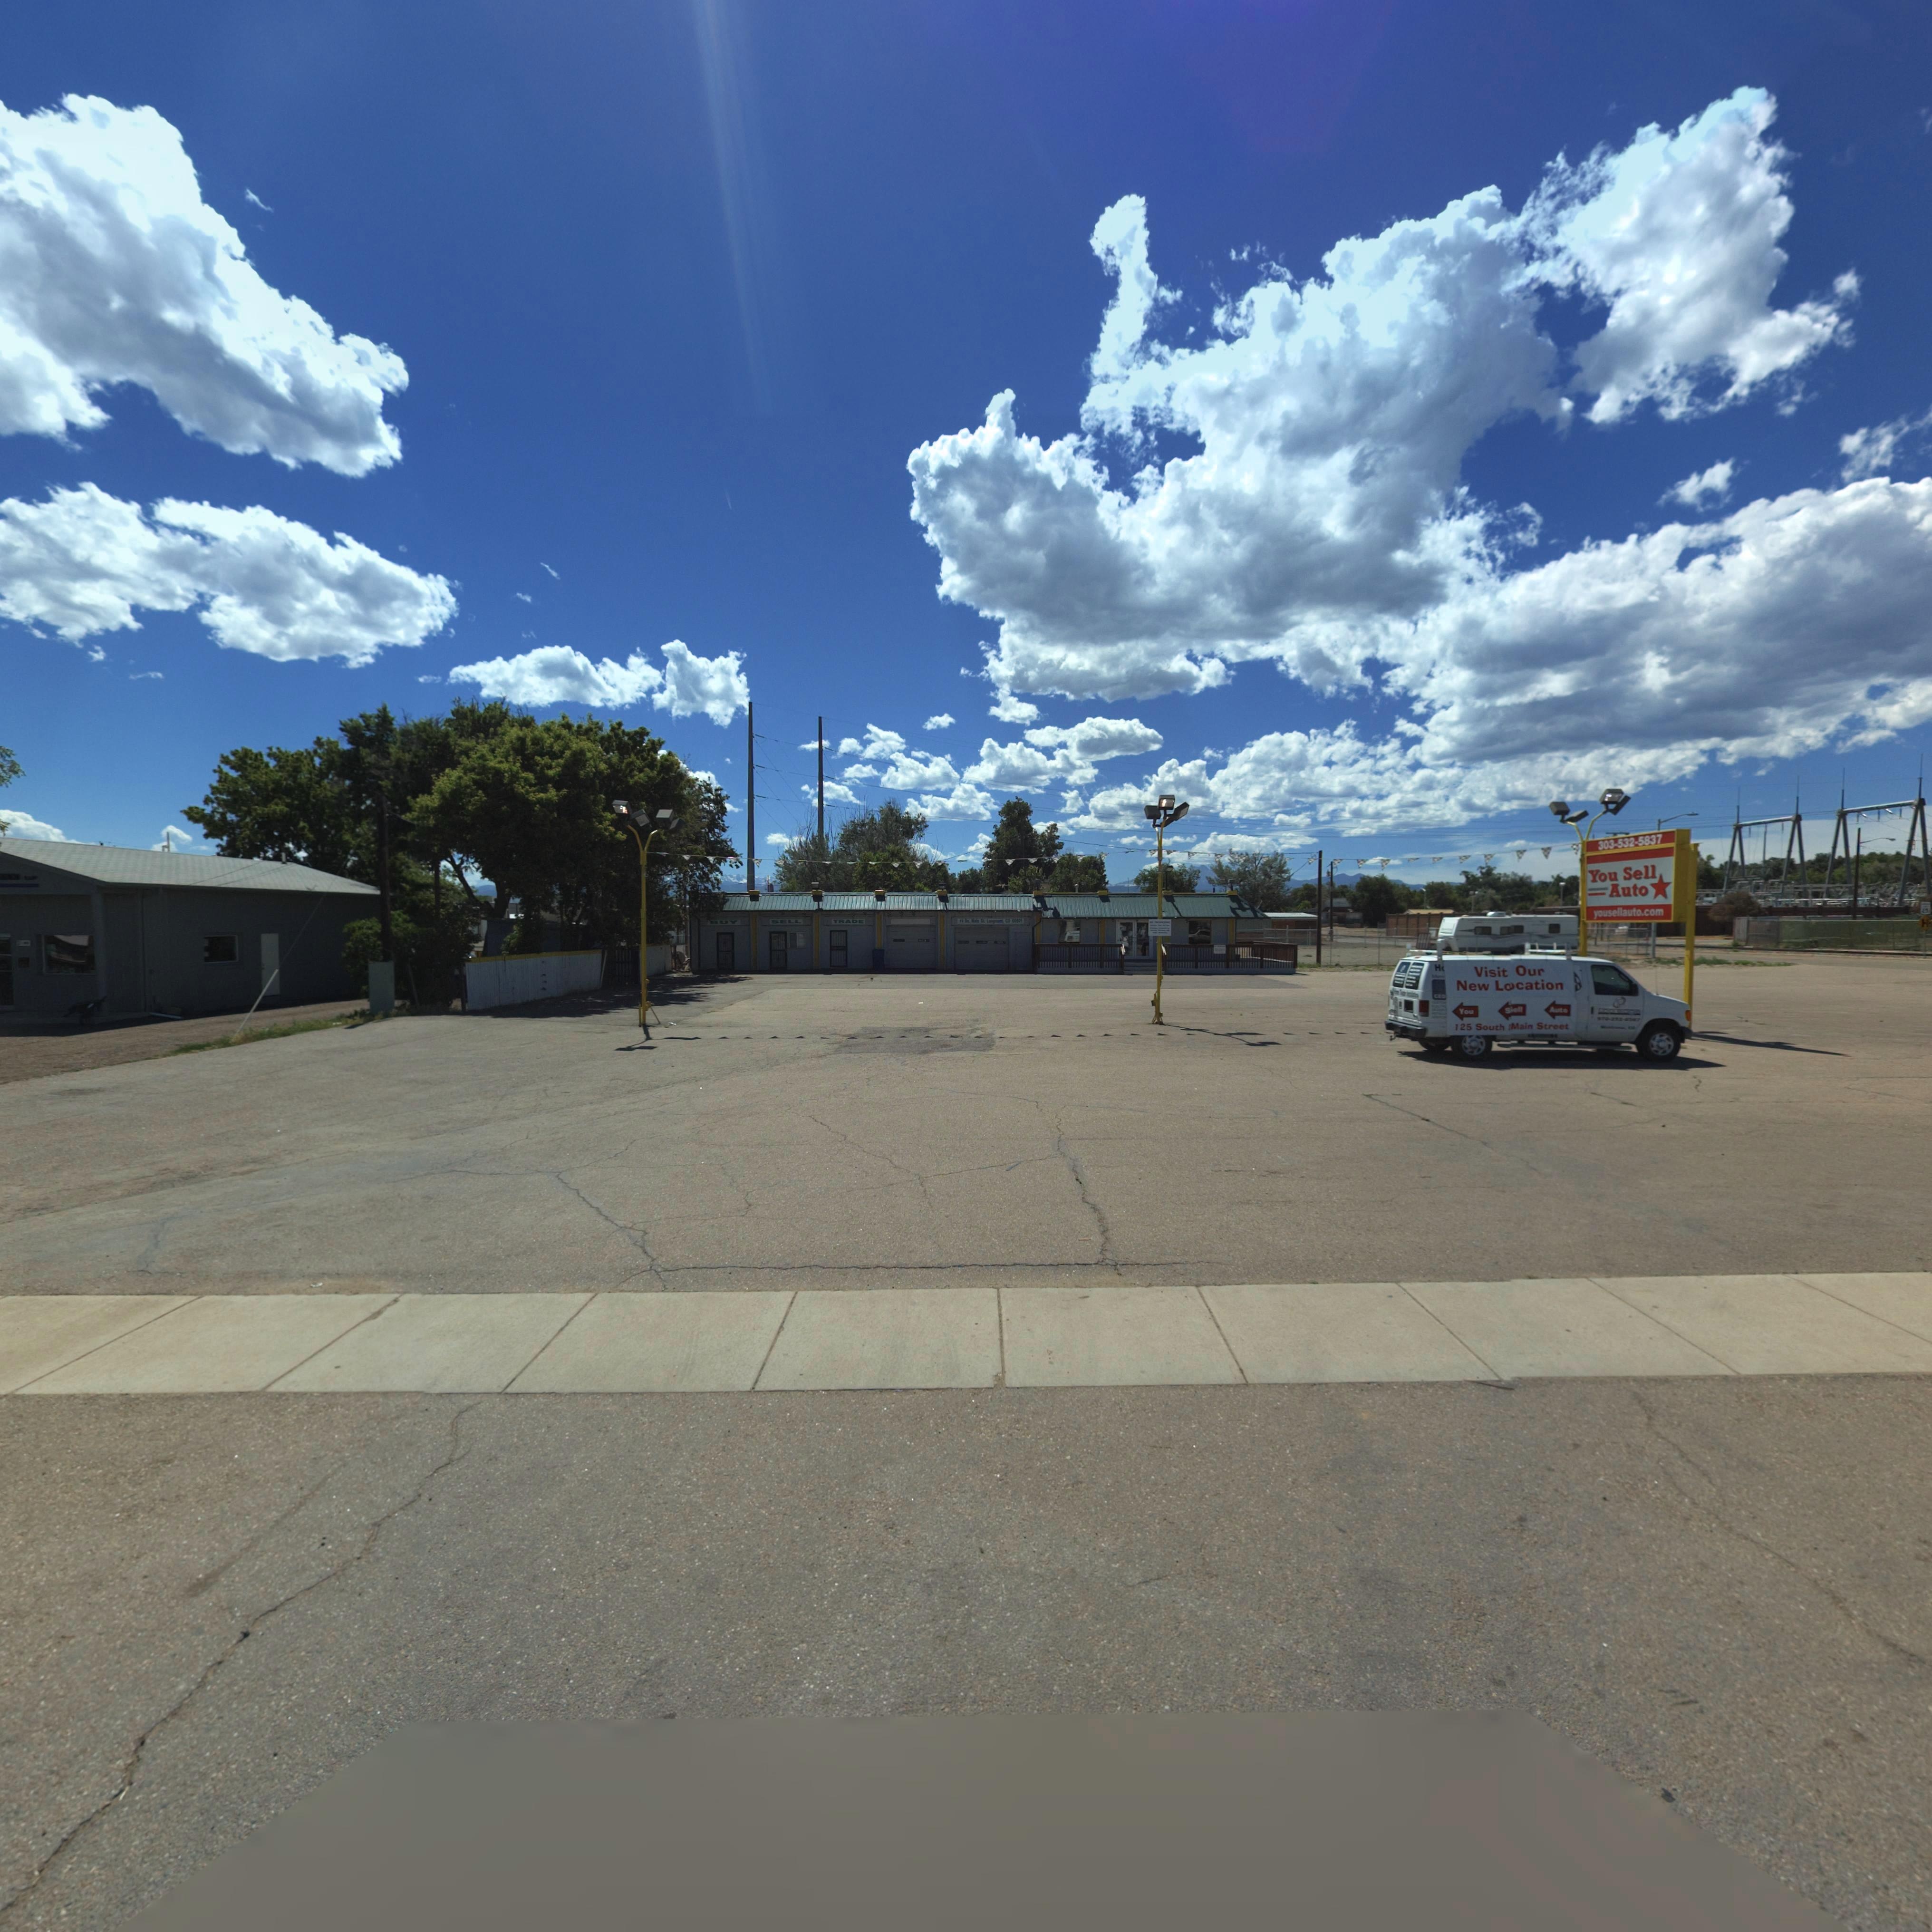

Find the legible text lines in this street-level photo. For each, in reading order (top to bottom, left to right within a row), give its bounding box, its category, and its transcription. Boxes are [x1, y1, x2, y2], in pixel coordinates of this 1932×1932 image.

[1587, 864, 1657, 883] BusinessName: You Sell
[1608, 883, 1649, 898] BusinessName: Auto
[959, 919, 964, 923] StreetNumber: *1
[964, 918, 985, 923] StreetName: So. Main St
[1454, 1023, 1472, 1031] StreetNumber: 125
[1475, 1022, 1569, 1031] StreetName: South *Main Street